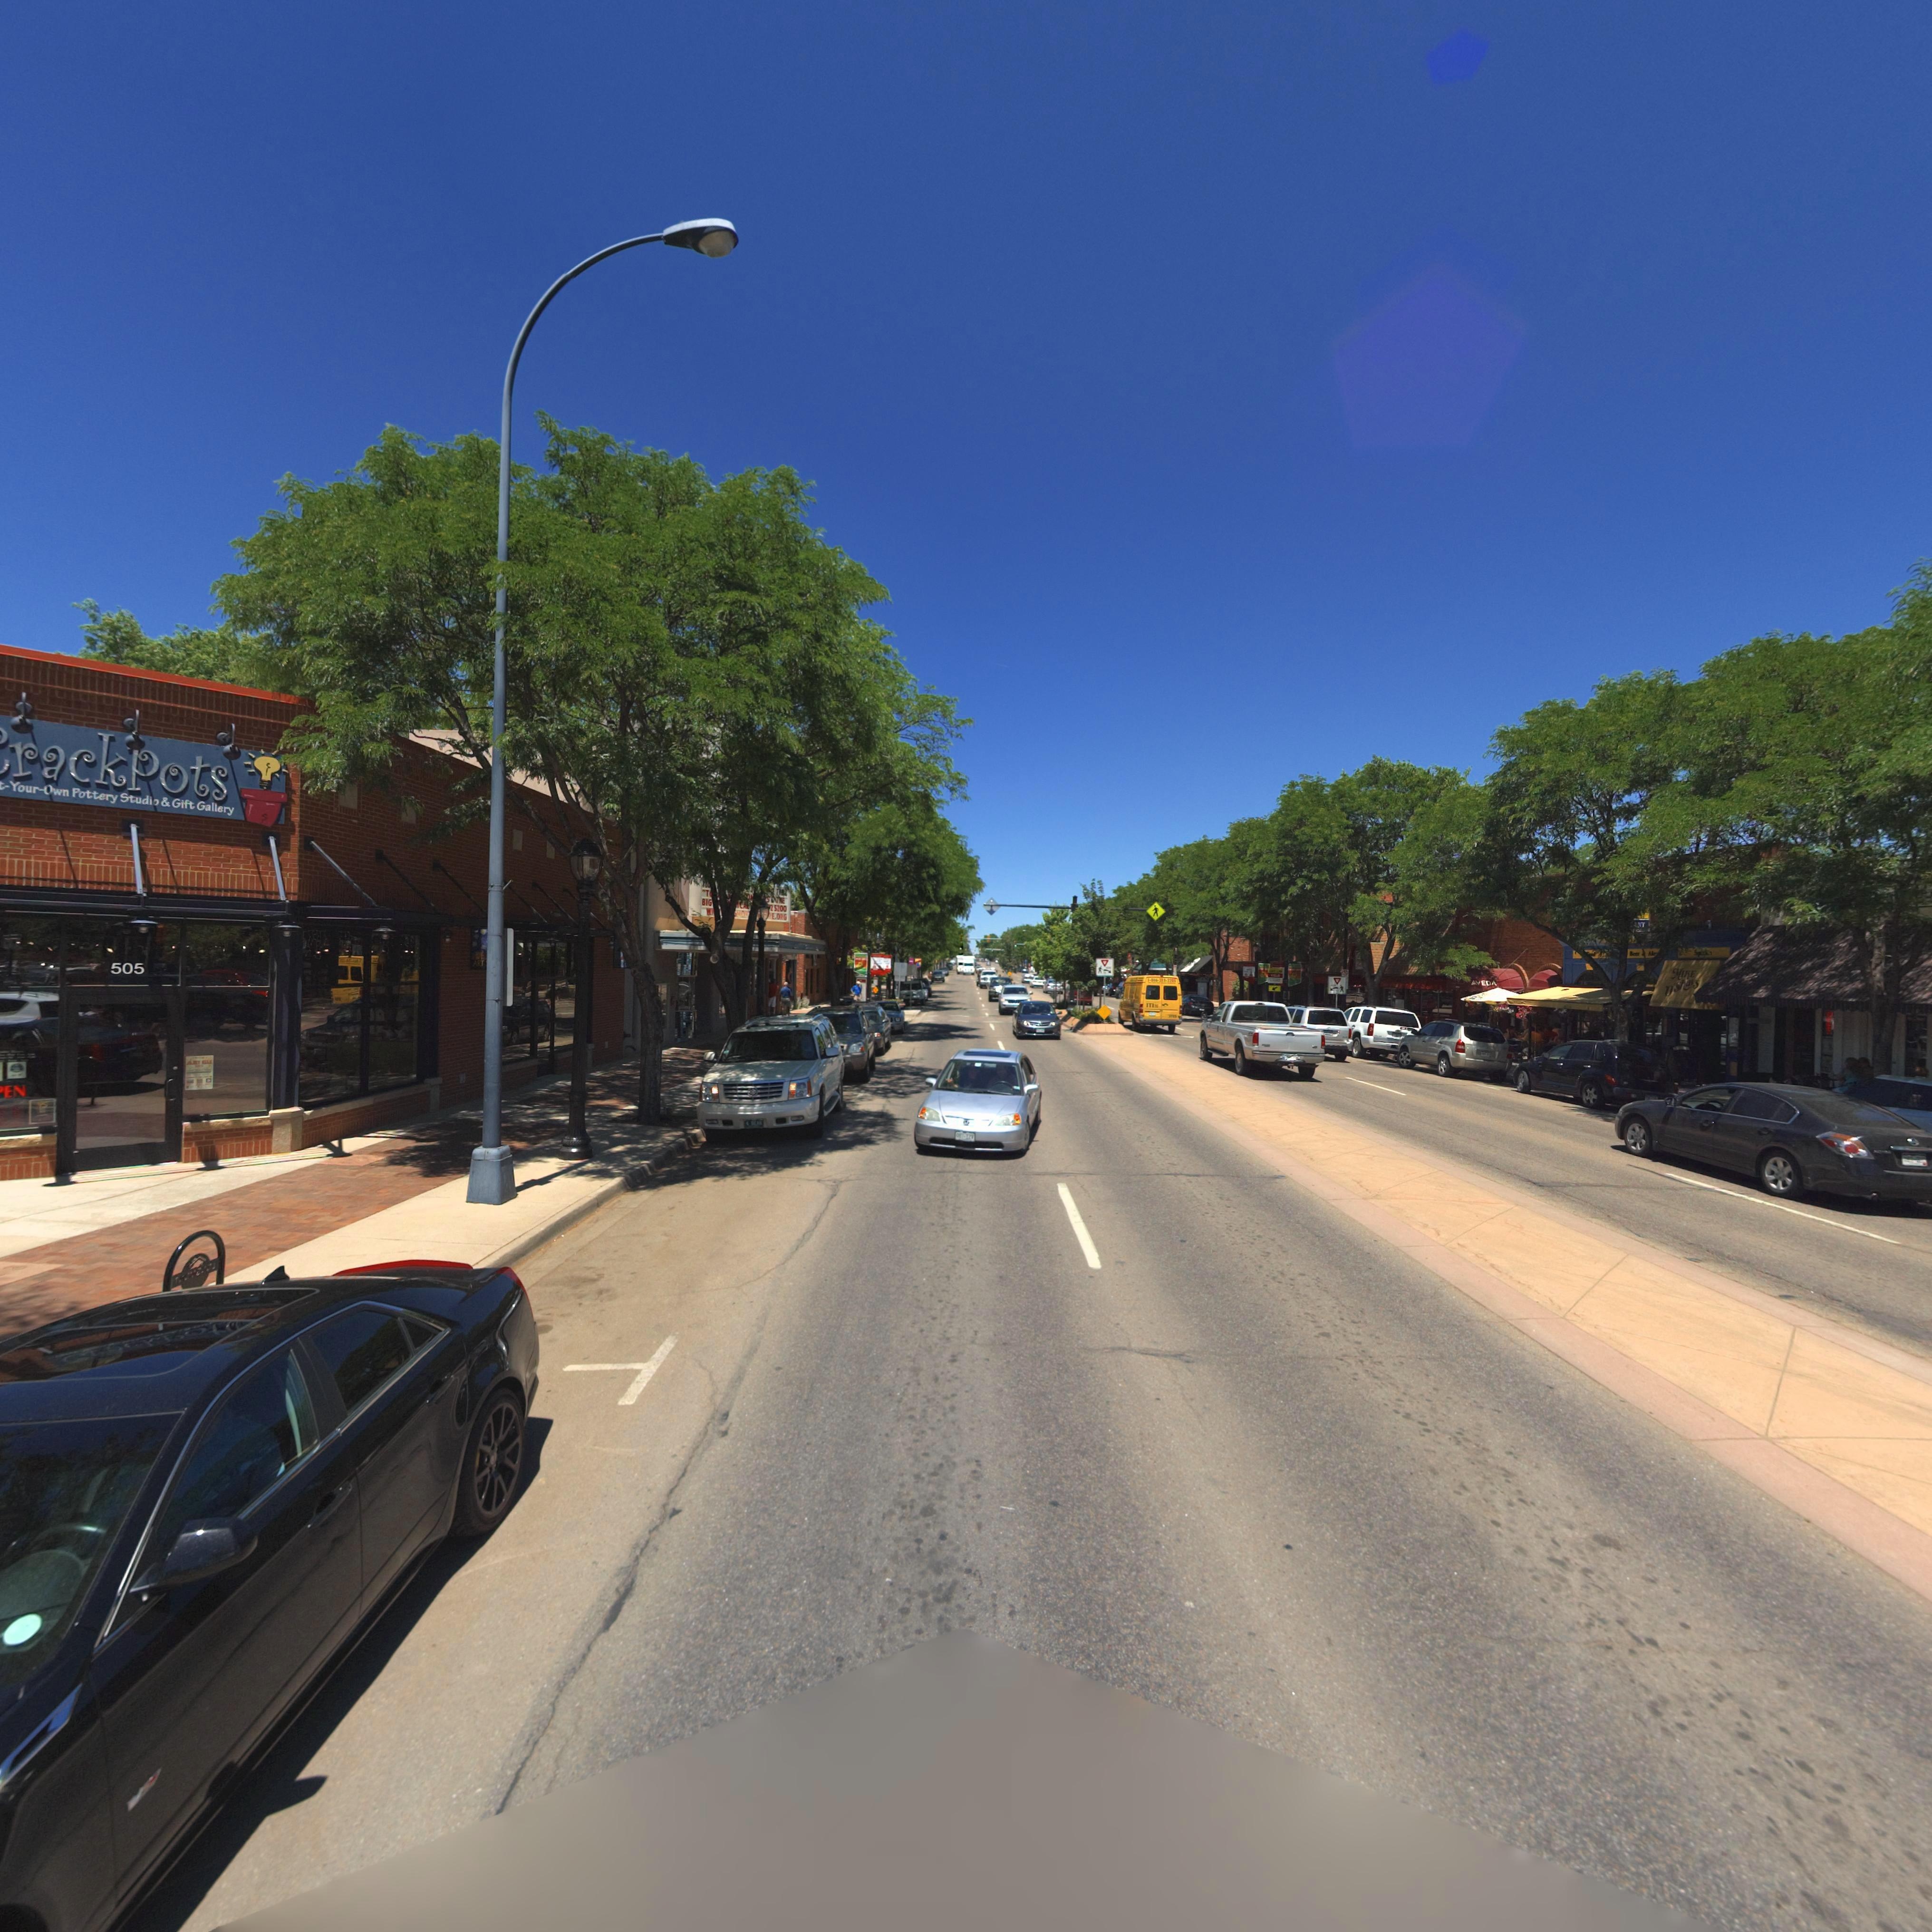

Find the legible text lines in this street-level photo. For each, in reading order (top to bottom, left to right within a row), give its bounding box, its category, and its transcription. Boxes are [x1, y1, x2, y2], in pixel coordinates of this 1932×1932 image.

[7, 731, 229, 802] BusinessName: rackpots
[109, 962, 145, 975] StreetNumber: 505
[1670, 967, 1697, 981] BusinessName: MIKE
[1663, 977, 1700, 997] BusinessName: O'SHAYS